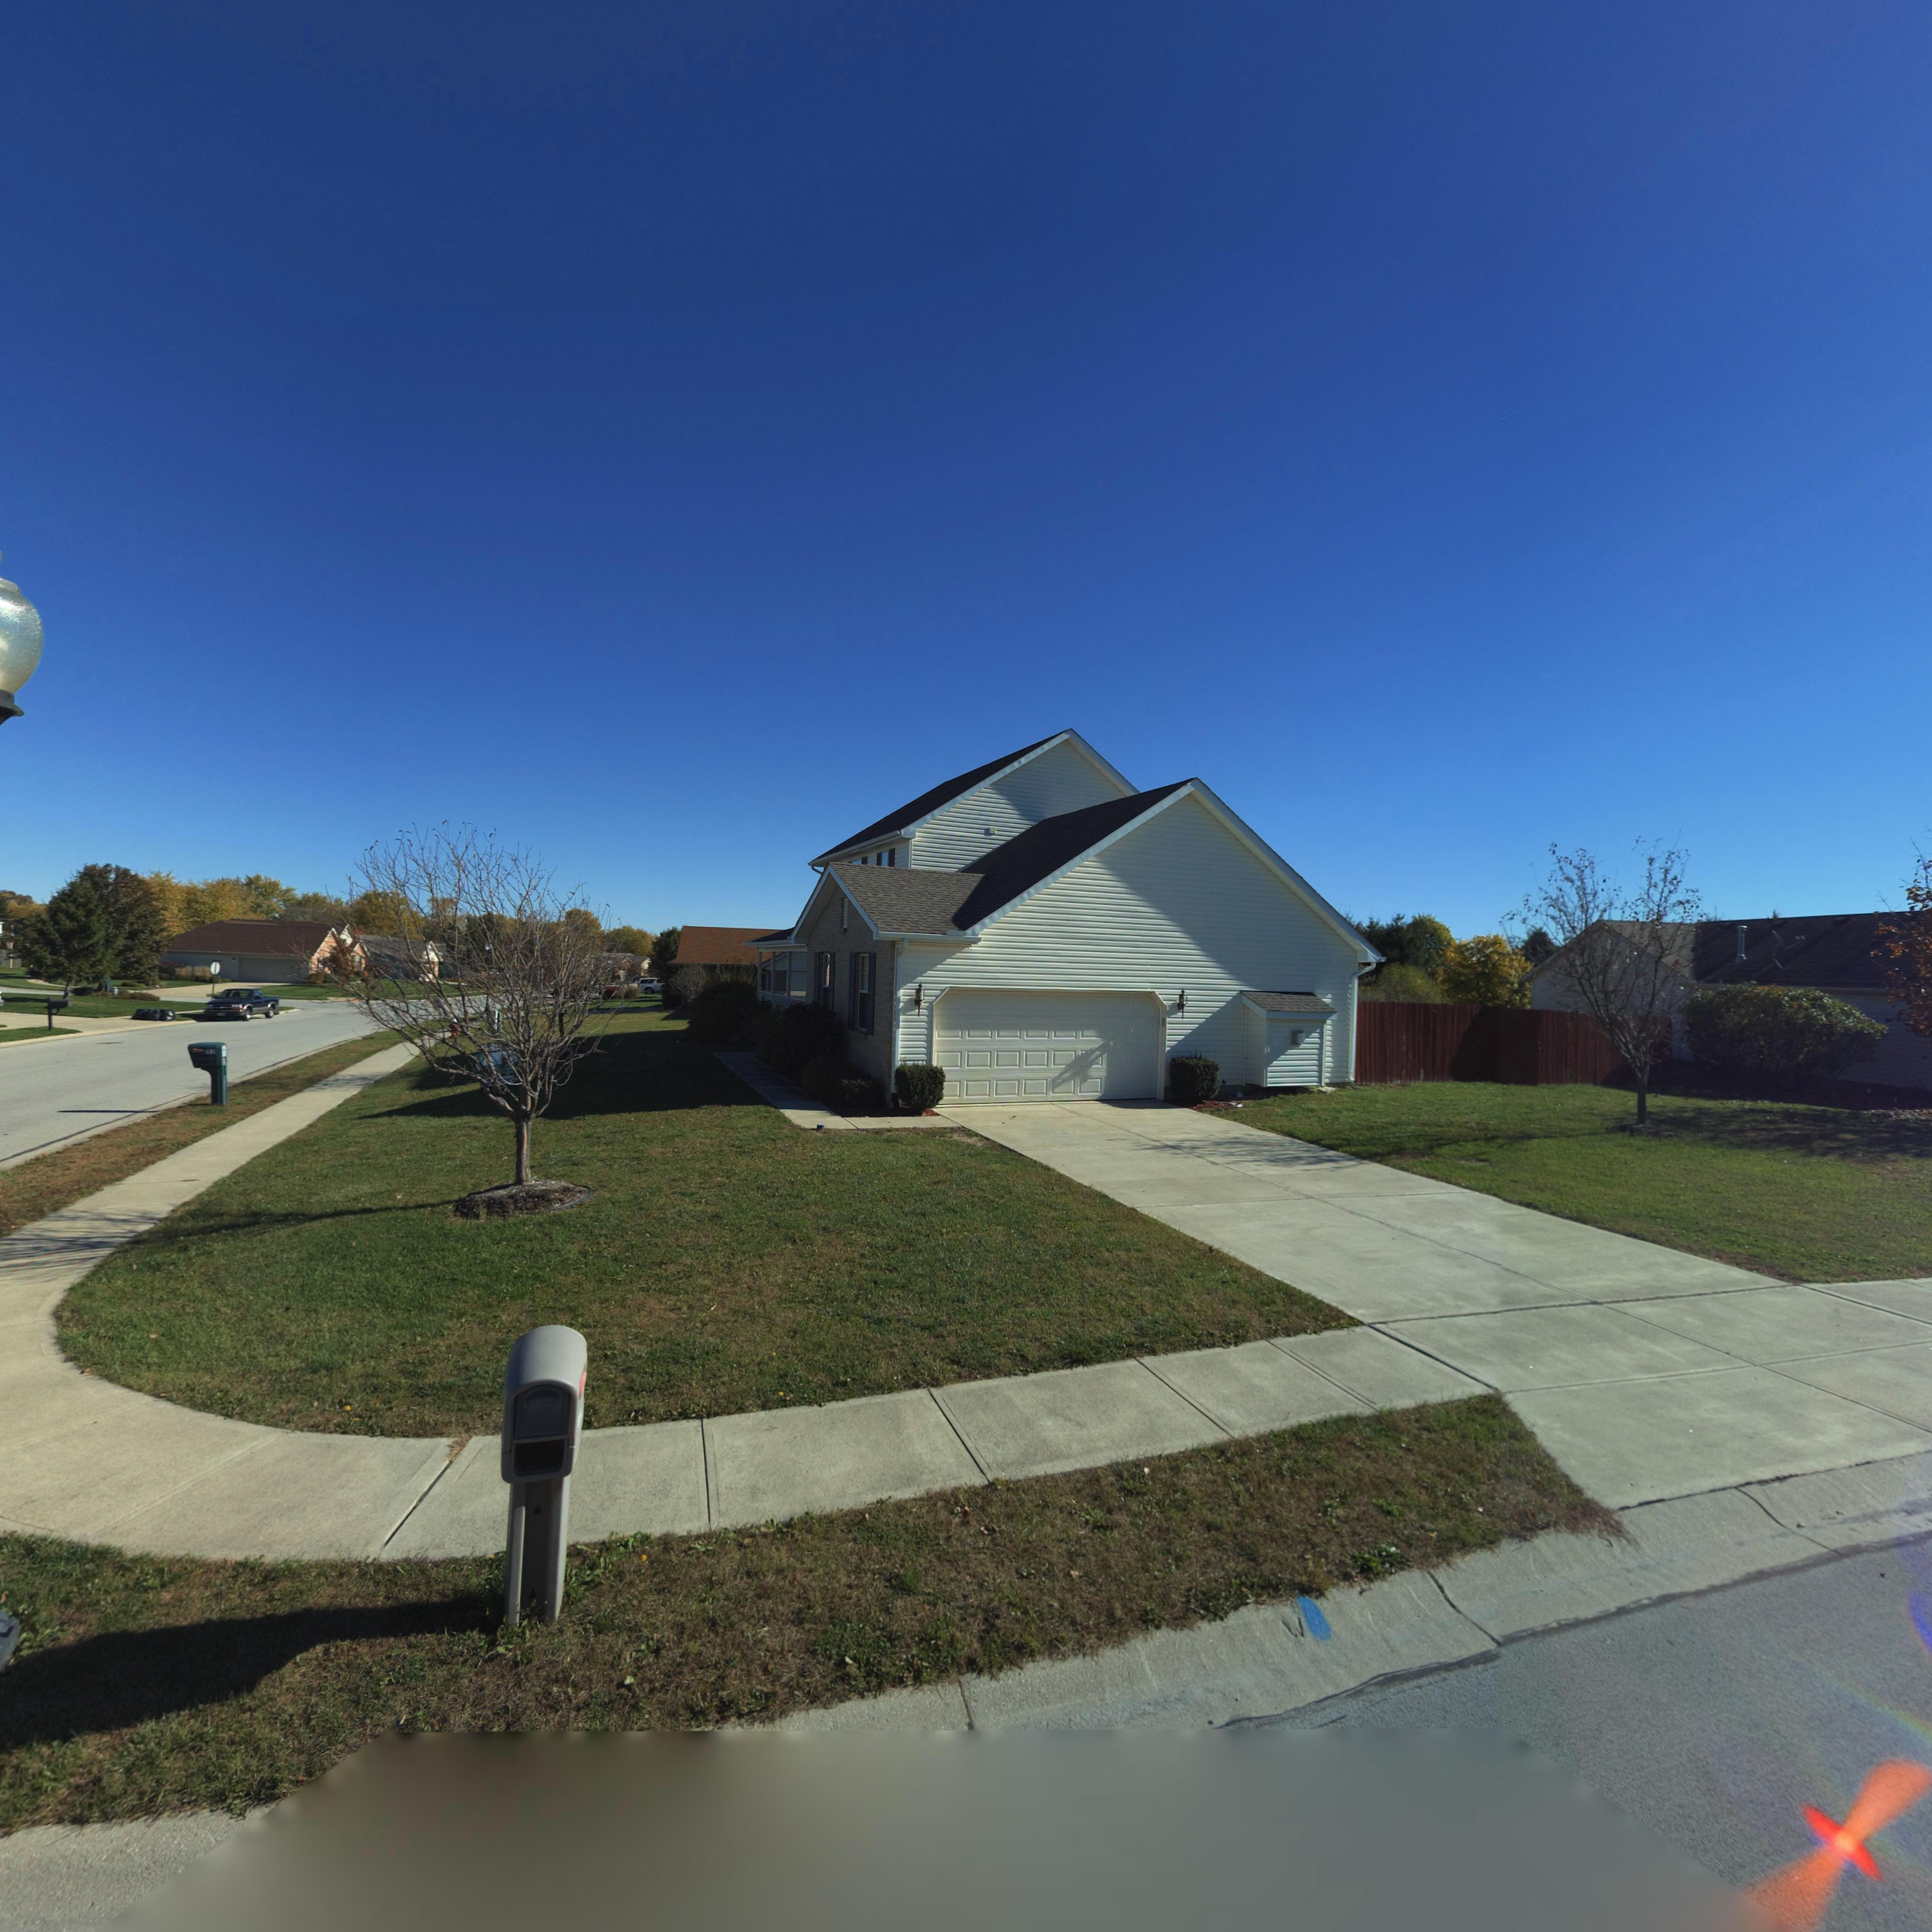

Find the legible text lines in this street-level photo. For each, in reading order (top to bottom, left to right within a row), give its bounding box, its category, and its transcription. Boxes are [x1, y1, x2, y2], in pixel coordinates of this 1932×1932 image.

[207, 1049, 211, 1054] StreetNumber: 5